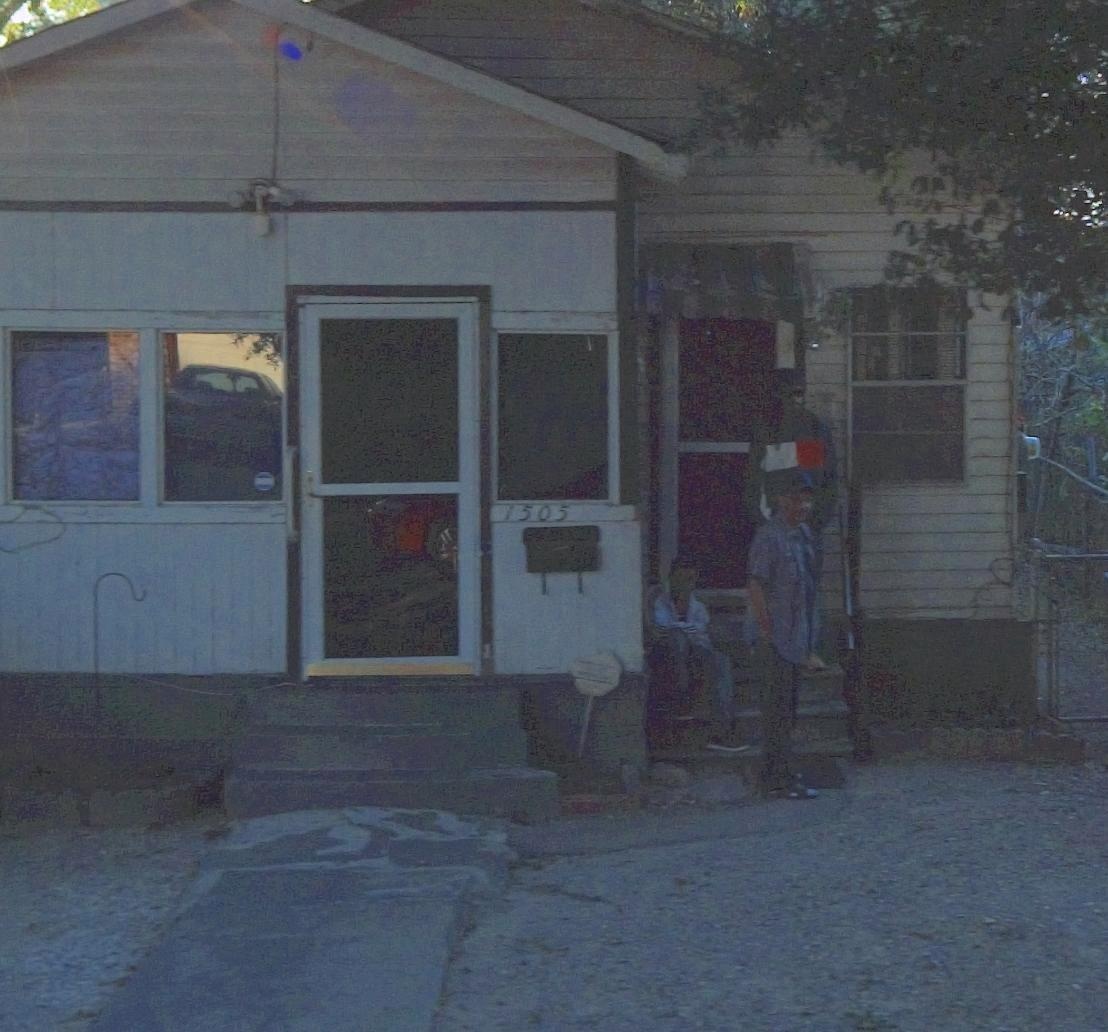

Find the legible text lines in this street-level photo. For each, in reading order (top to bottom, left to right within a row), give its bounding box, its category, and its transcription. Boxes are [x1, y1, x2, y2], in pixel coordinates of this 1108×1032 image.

[500, 500, 572, 525] StreetNumber: 1505